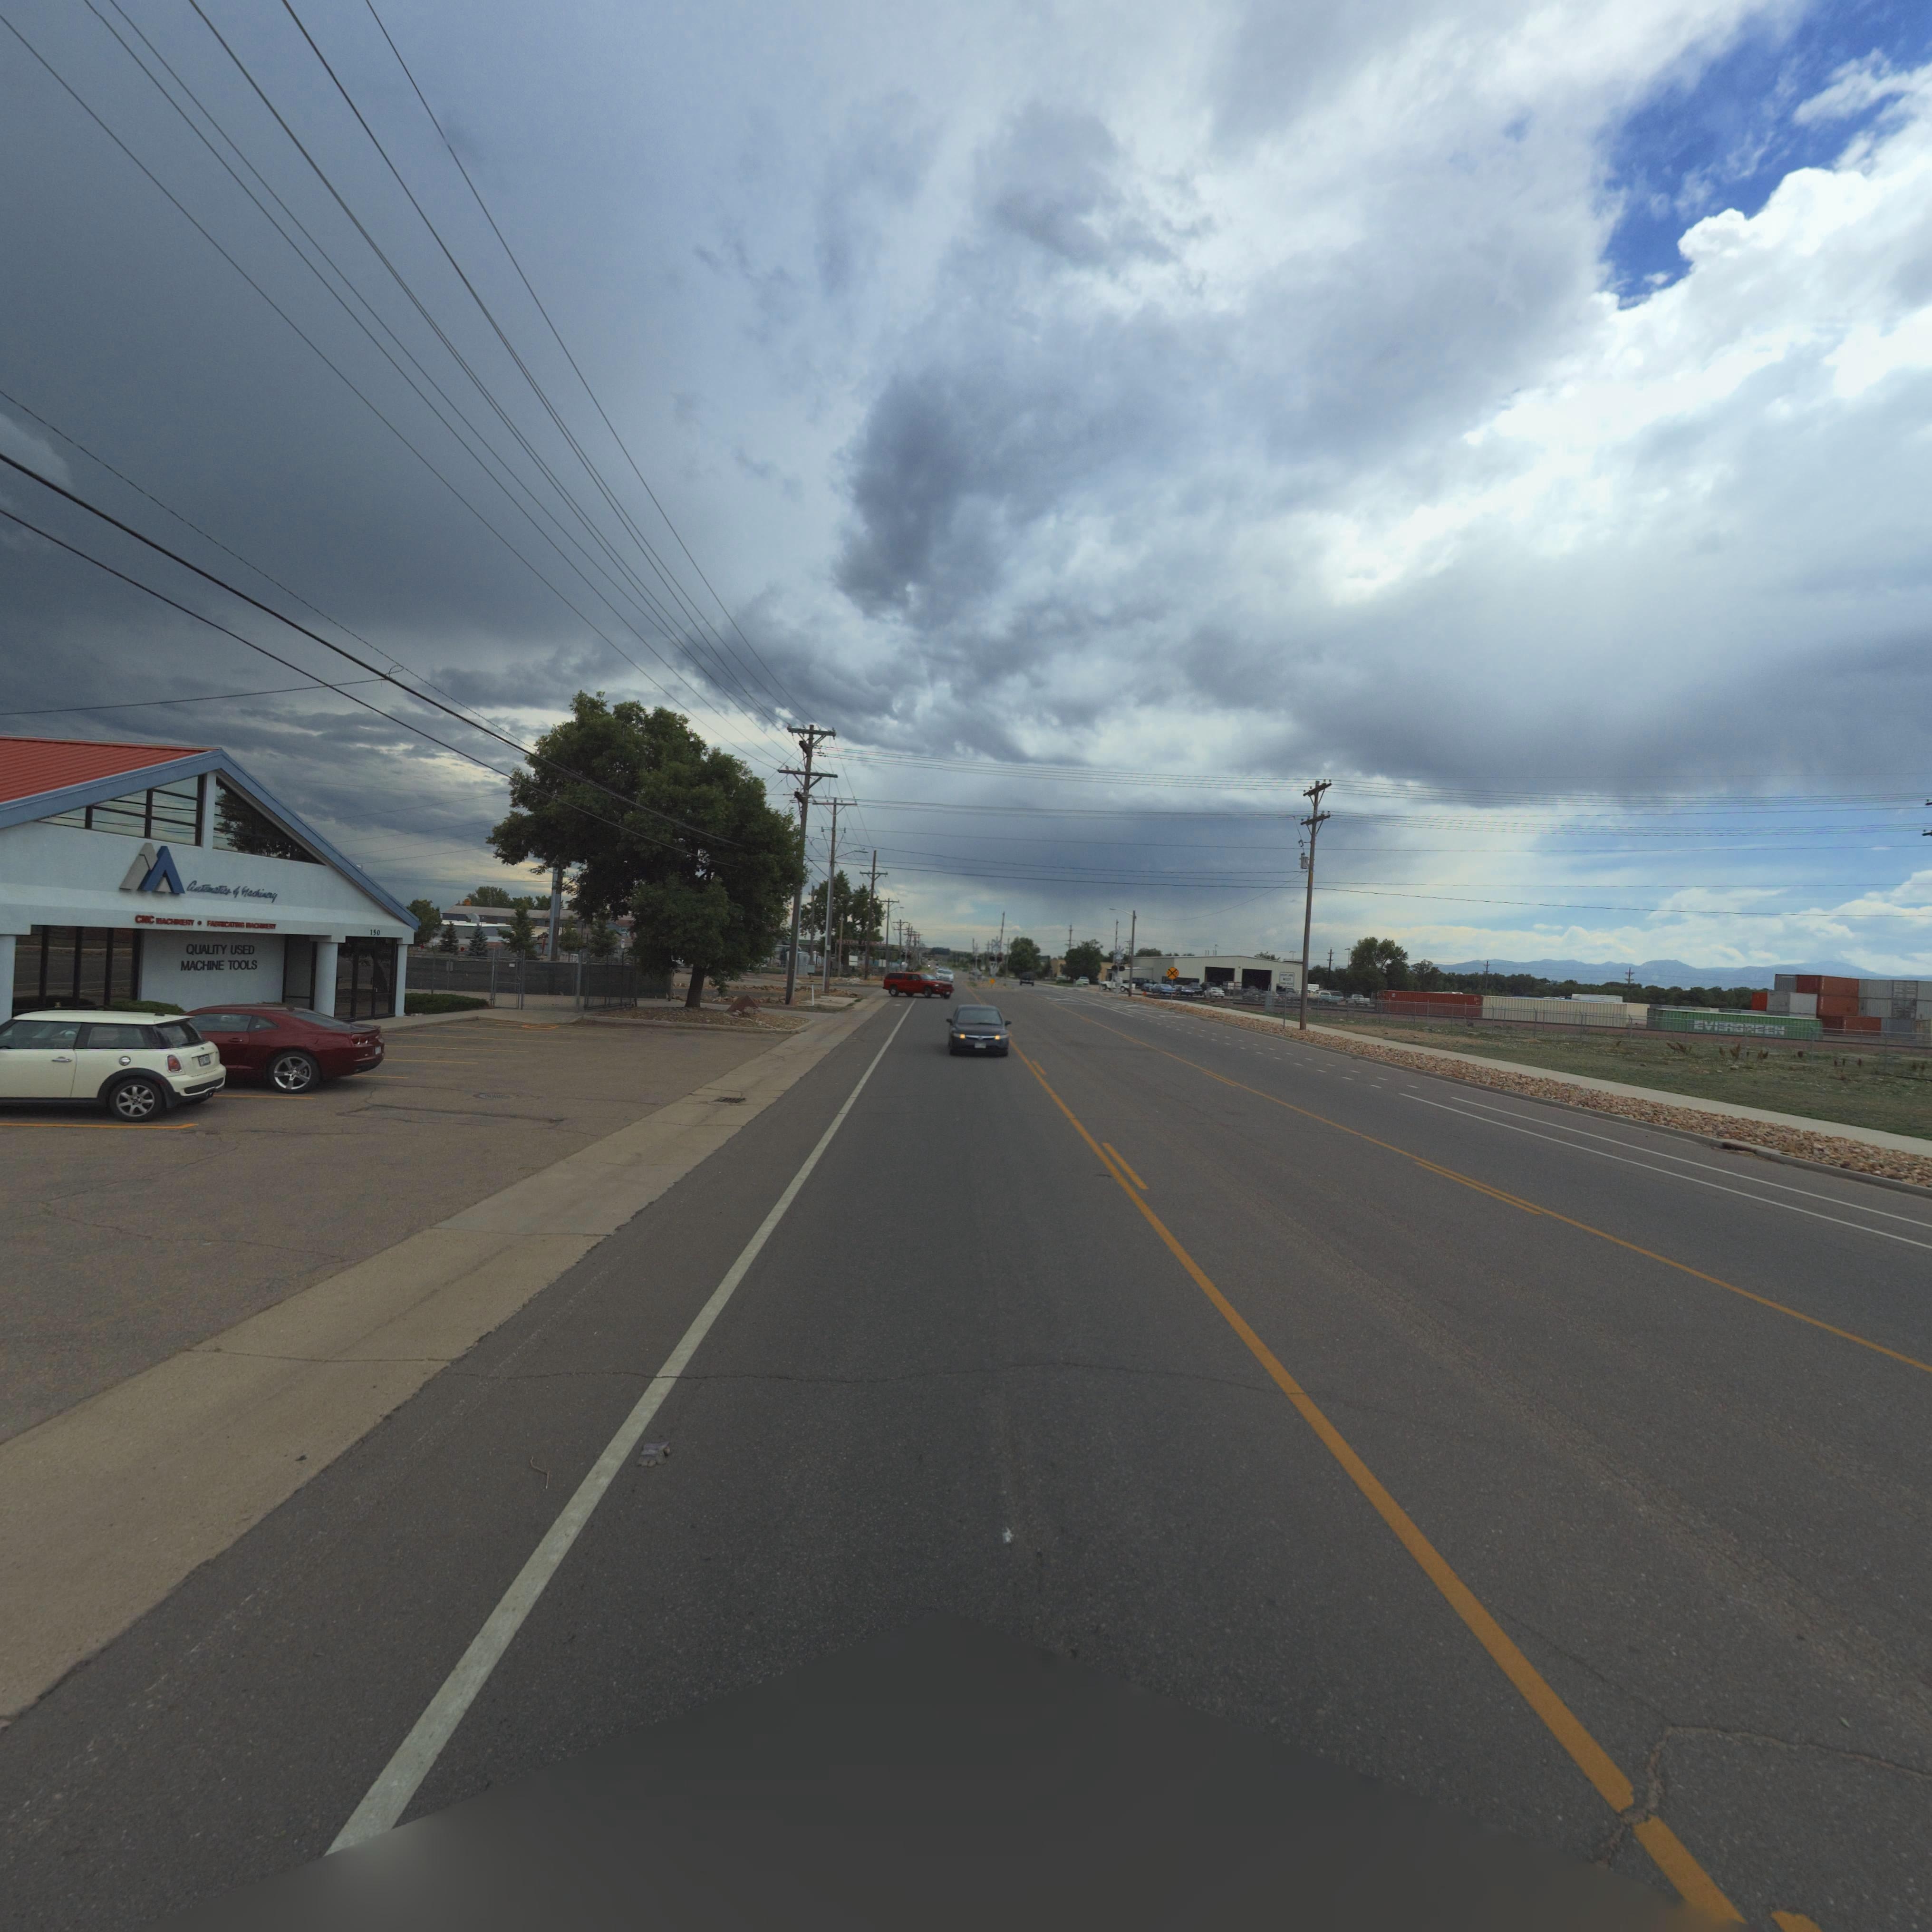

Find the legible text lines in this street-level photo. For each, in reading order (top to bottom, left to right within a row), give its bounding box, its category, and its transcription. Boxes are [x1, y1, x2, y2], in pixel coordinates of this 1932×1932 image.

[186, 879, 279, 903] BusinessName: **T***Tic* * *achi*e*y
[370, 929, 380, 936] StreetNumber: 150